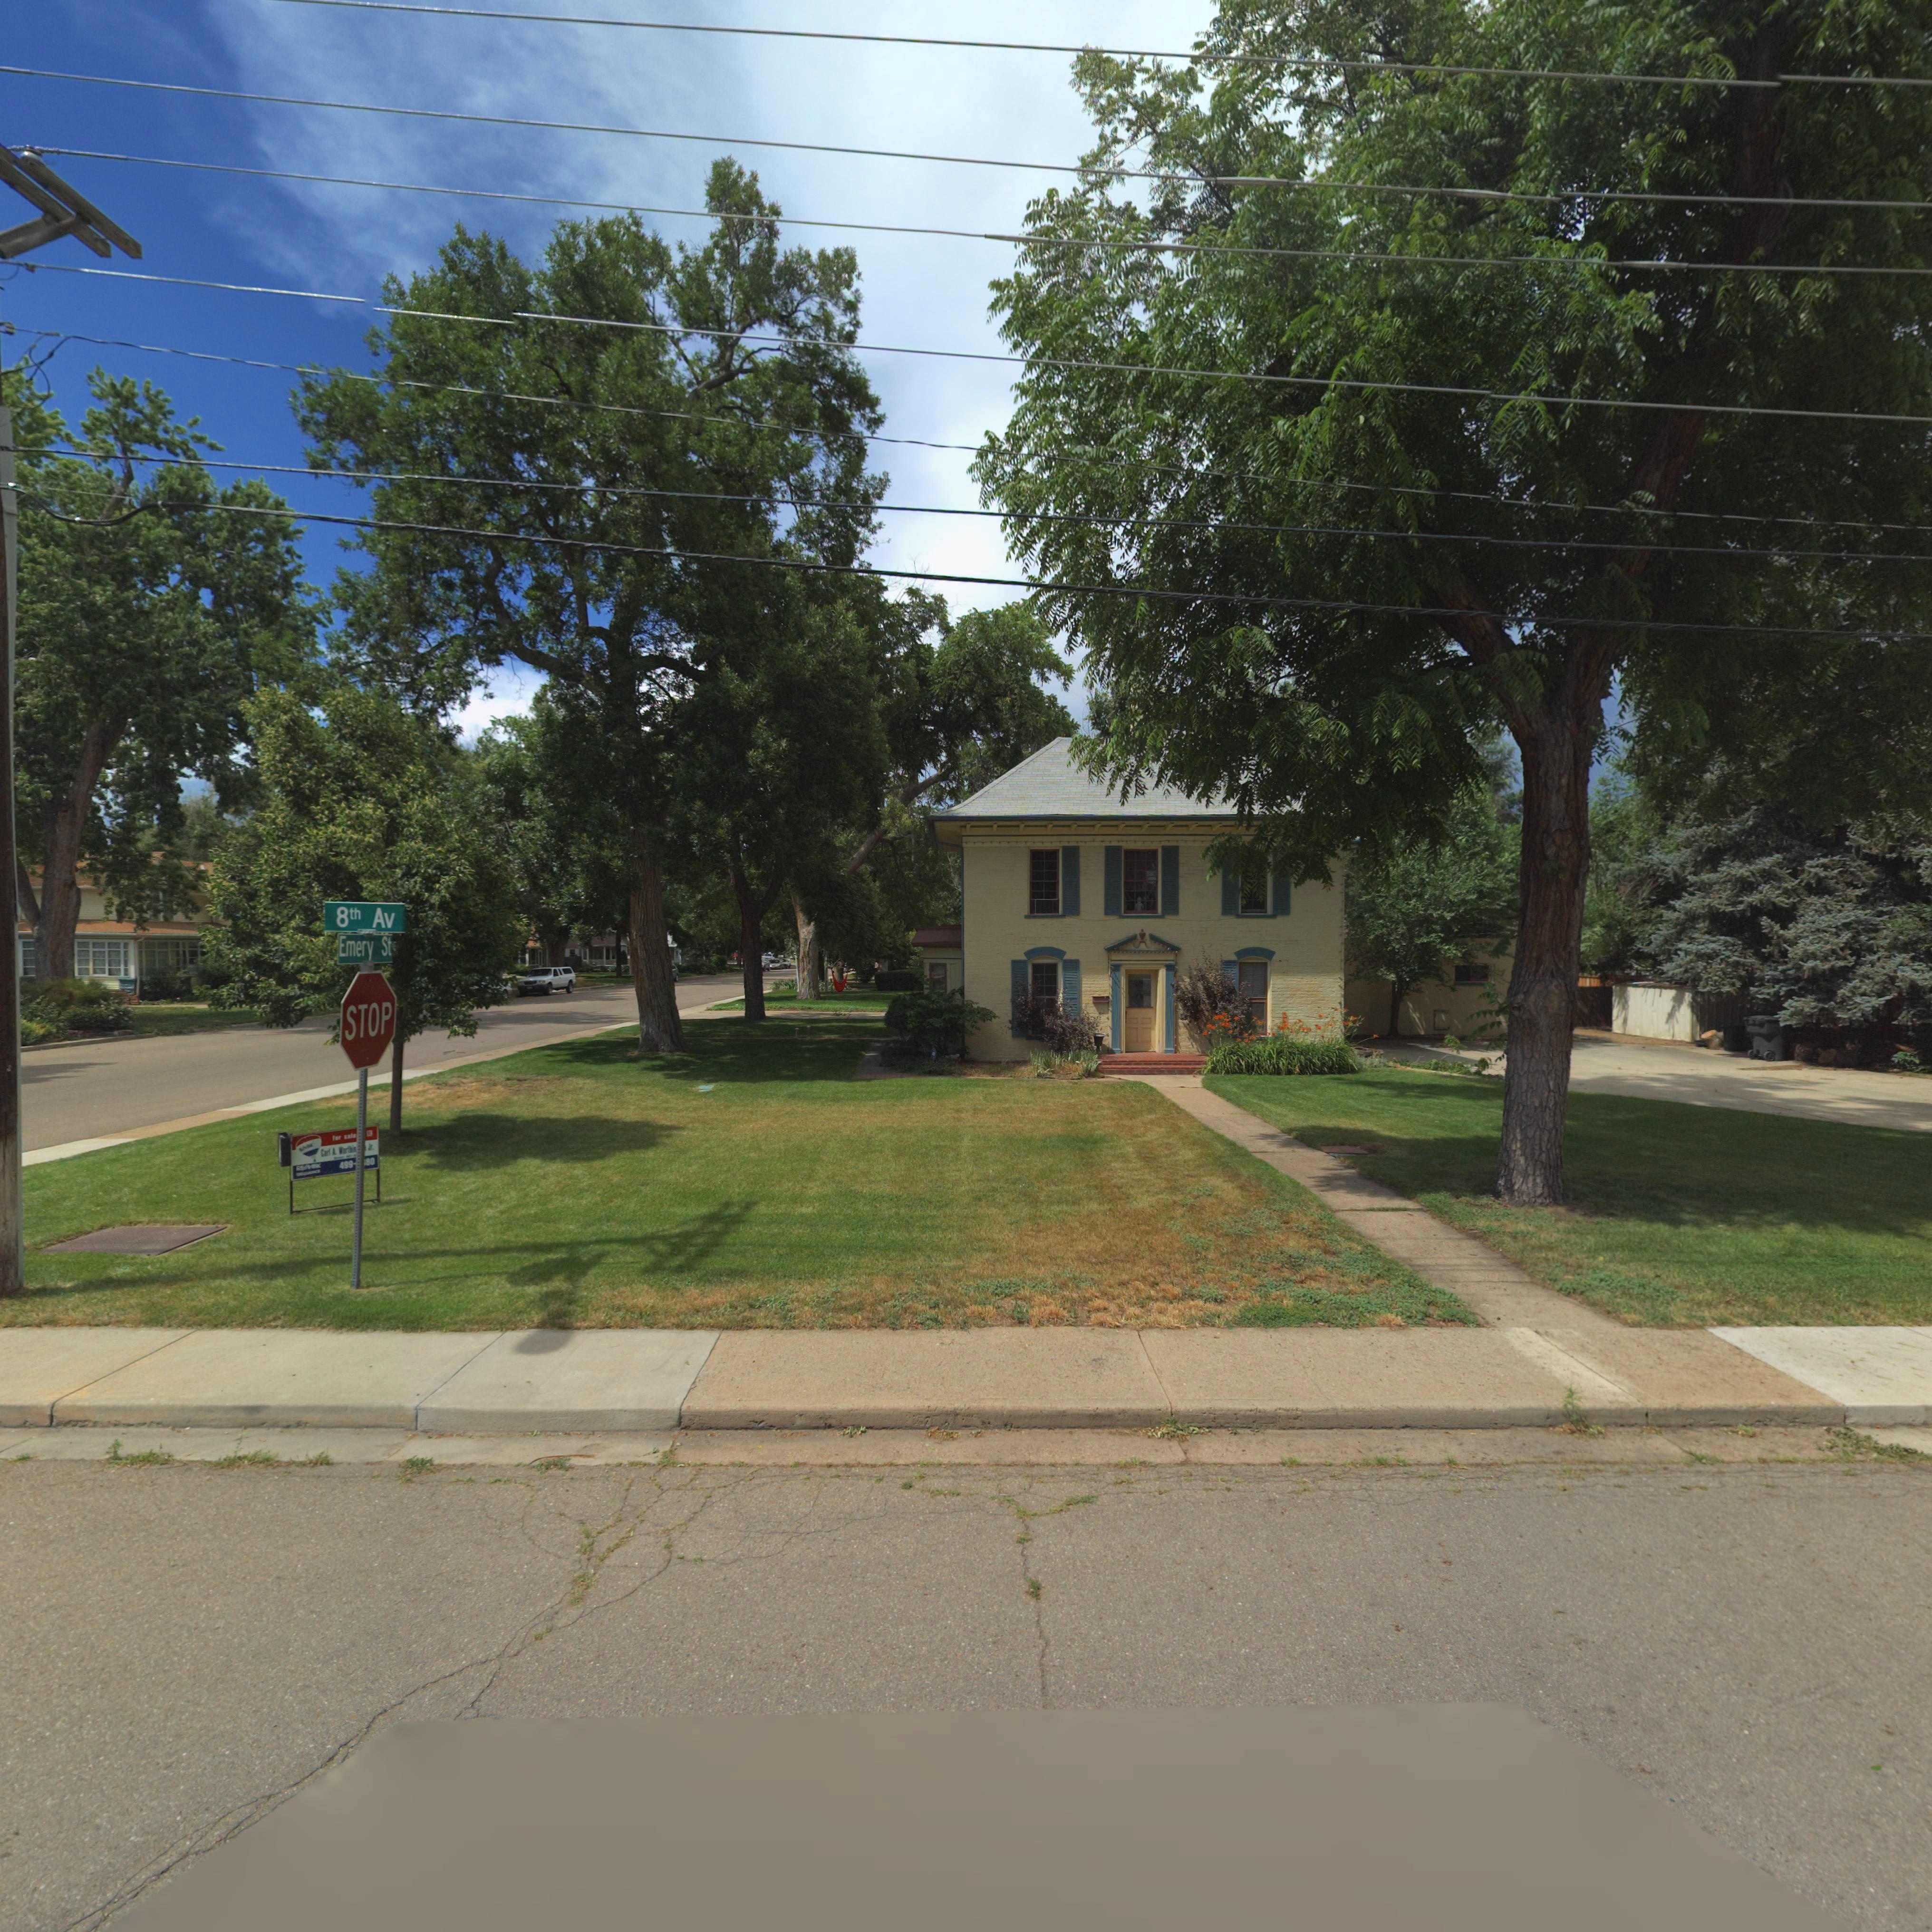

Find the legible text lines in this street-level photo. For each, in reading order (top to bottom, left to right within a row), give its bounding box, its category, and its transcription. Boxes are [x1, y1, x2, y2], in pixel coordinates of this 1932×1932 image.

[335, 905, 396, 929] StreetName: 8th Av
[338, 934, 393, 962] StreetName: Emery St